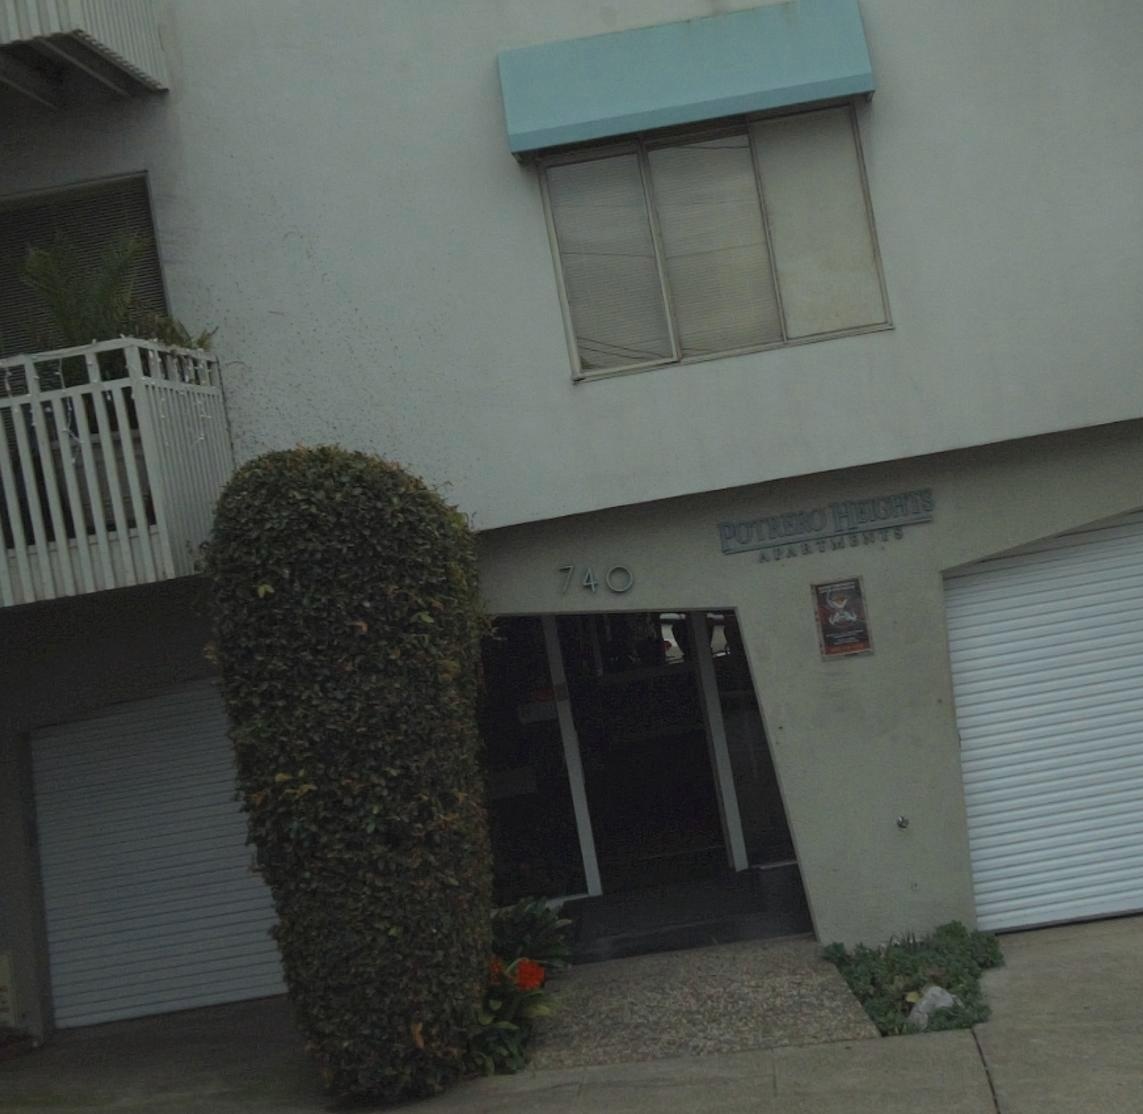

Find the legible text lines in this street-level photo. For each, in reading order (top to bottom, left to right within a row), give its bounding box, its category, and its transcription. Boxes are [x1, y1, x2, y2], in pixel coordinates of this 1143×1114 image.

[713, 485, 937, 555] BusinessName: POTRERO HEIGHTS
[757, 523, 906, 565] BusinessName: APARTMENTS
[556, 563, 636, 595] StreetNumber: 740